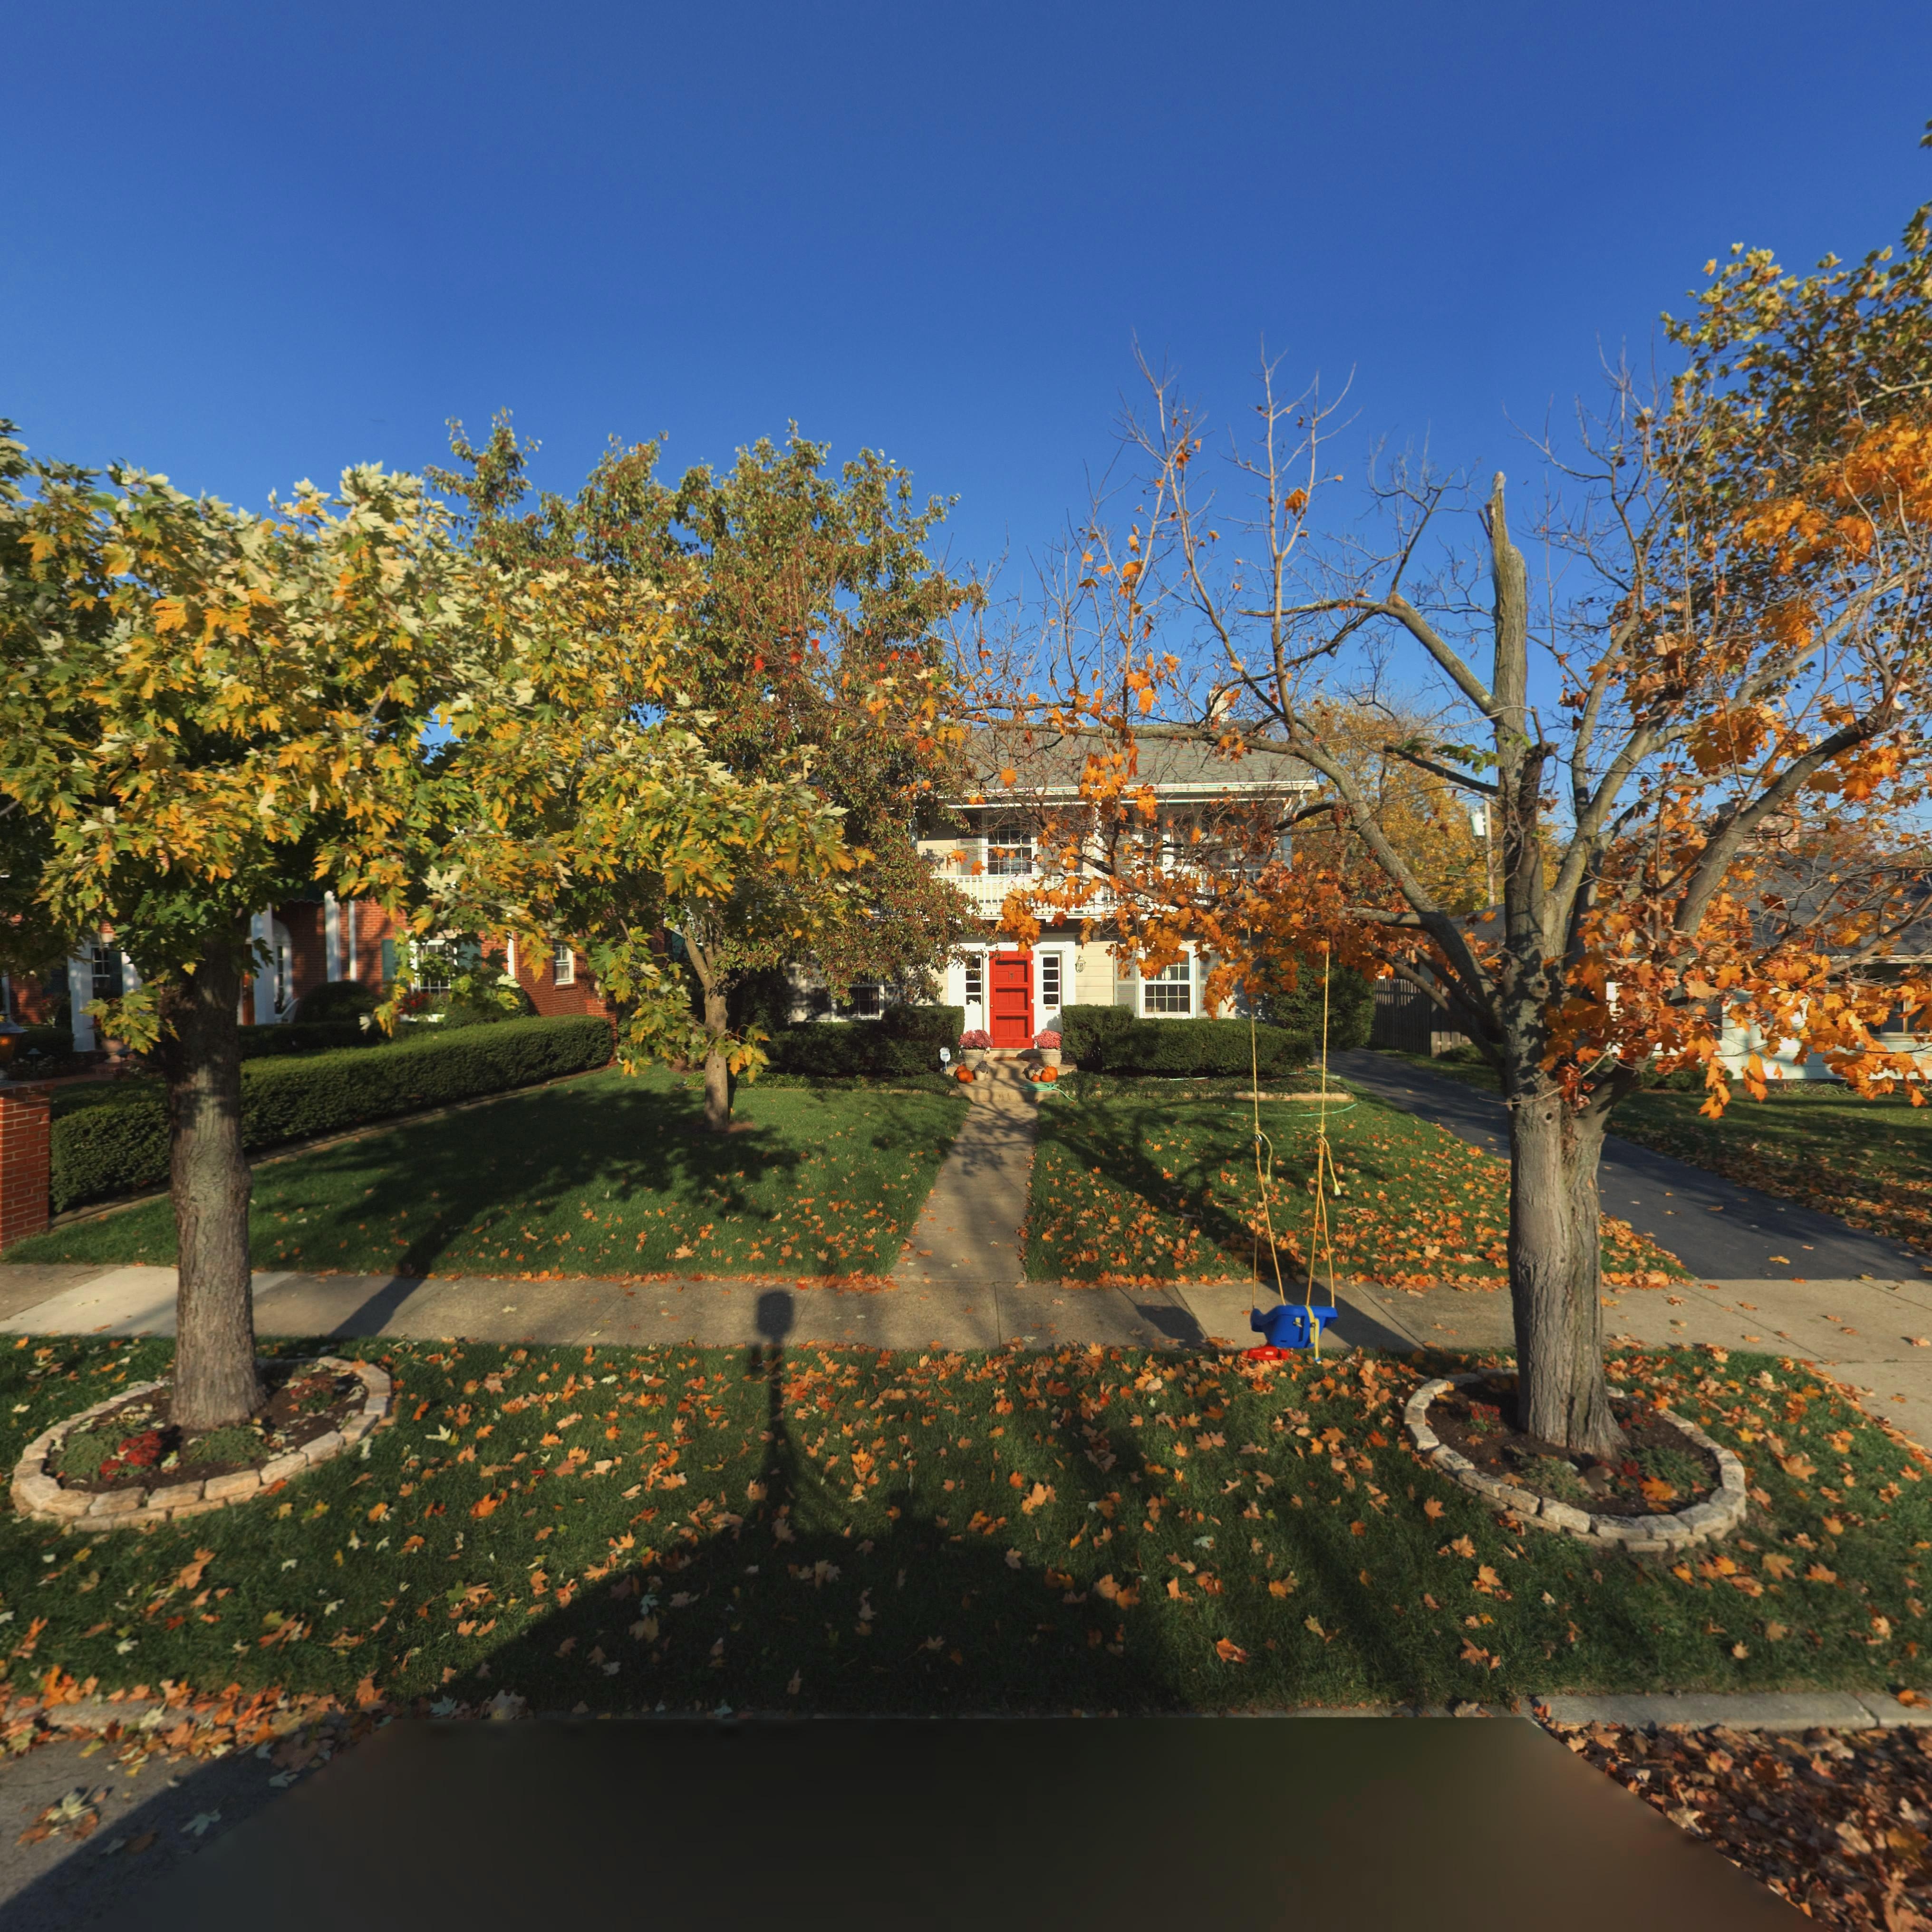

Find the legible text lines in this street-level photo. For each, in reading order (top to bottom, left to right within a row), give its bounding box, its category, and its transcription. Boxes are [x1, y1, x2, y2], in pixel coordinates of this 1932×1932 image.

[1003, 938, 1017, 945] StreetNumber: 5**